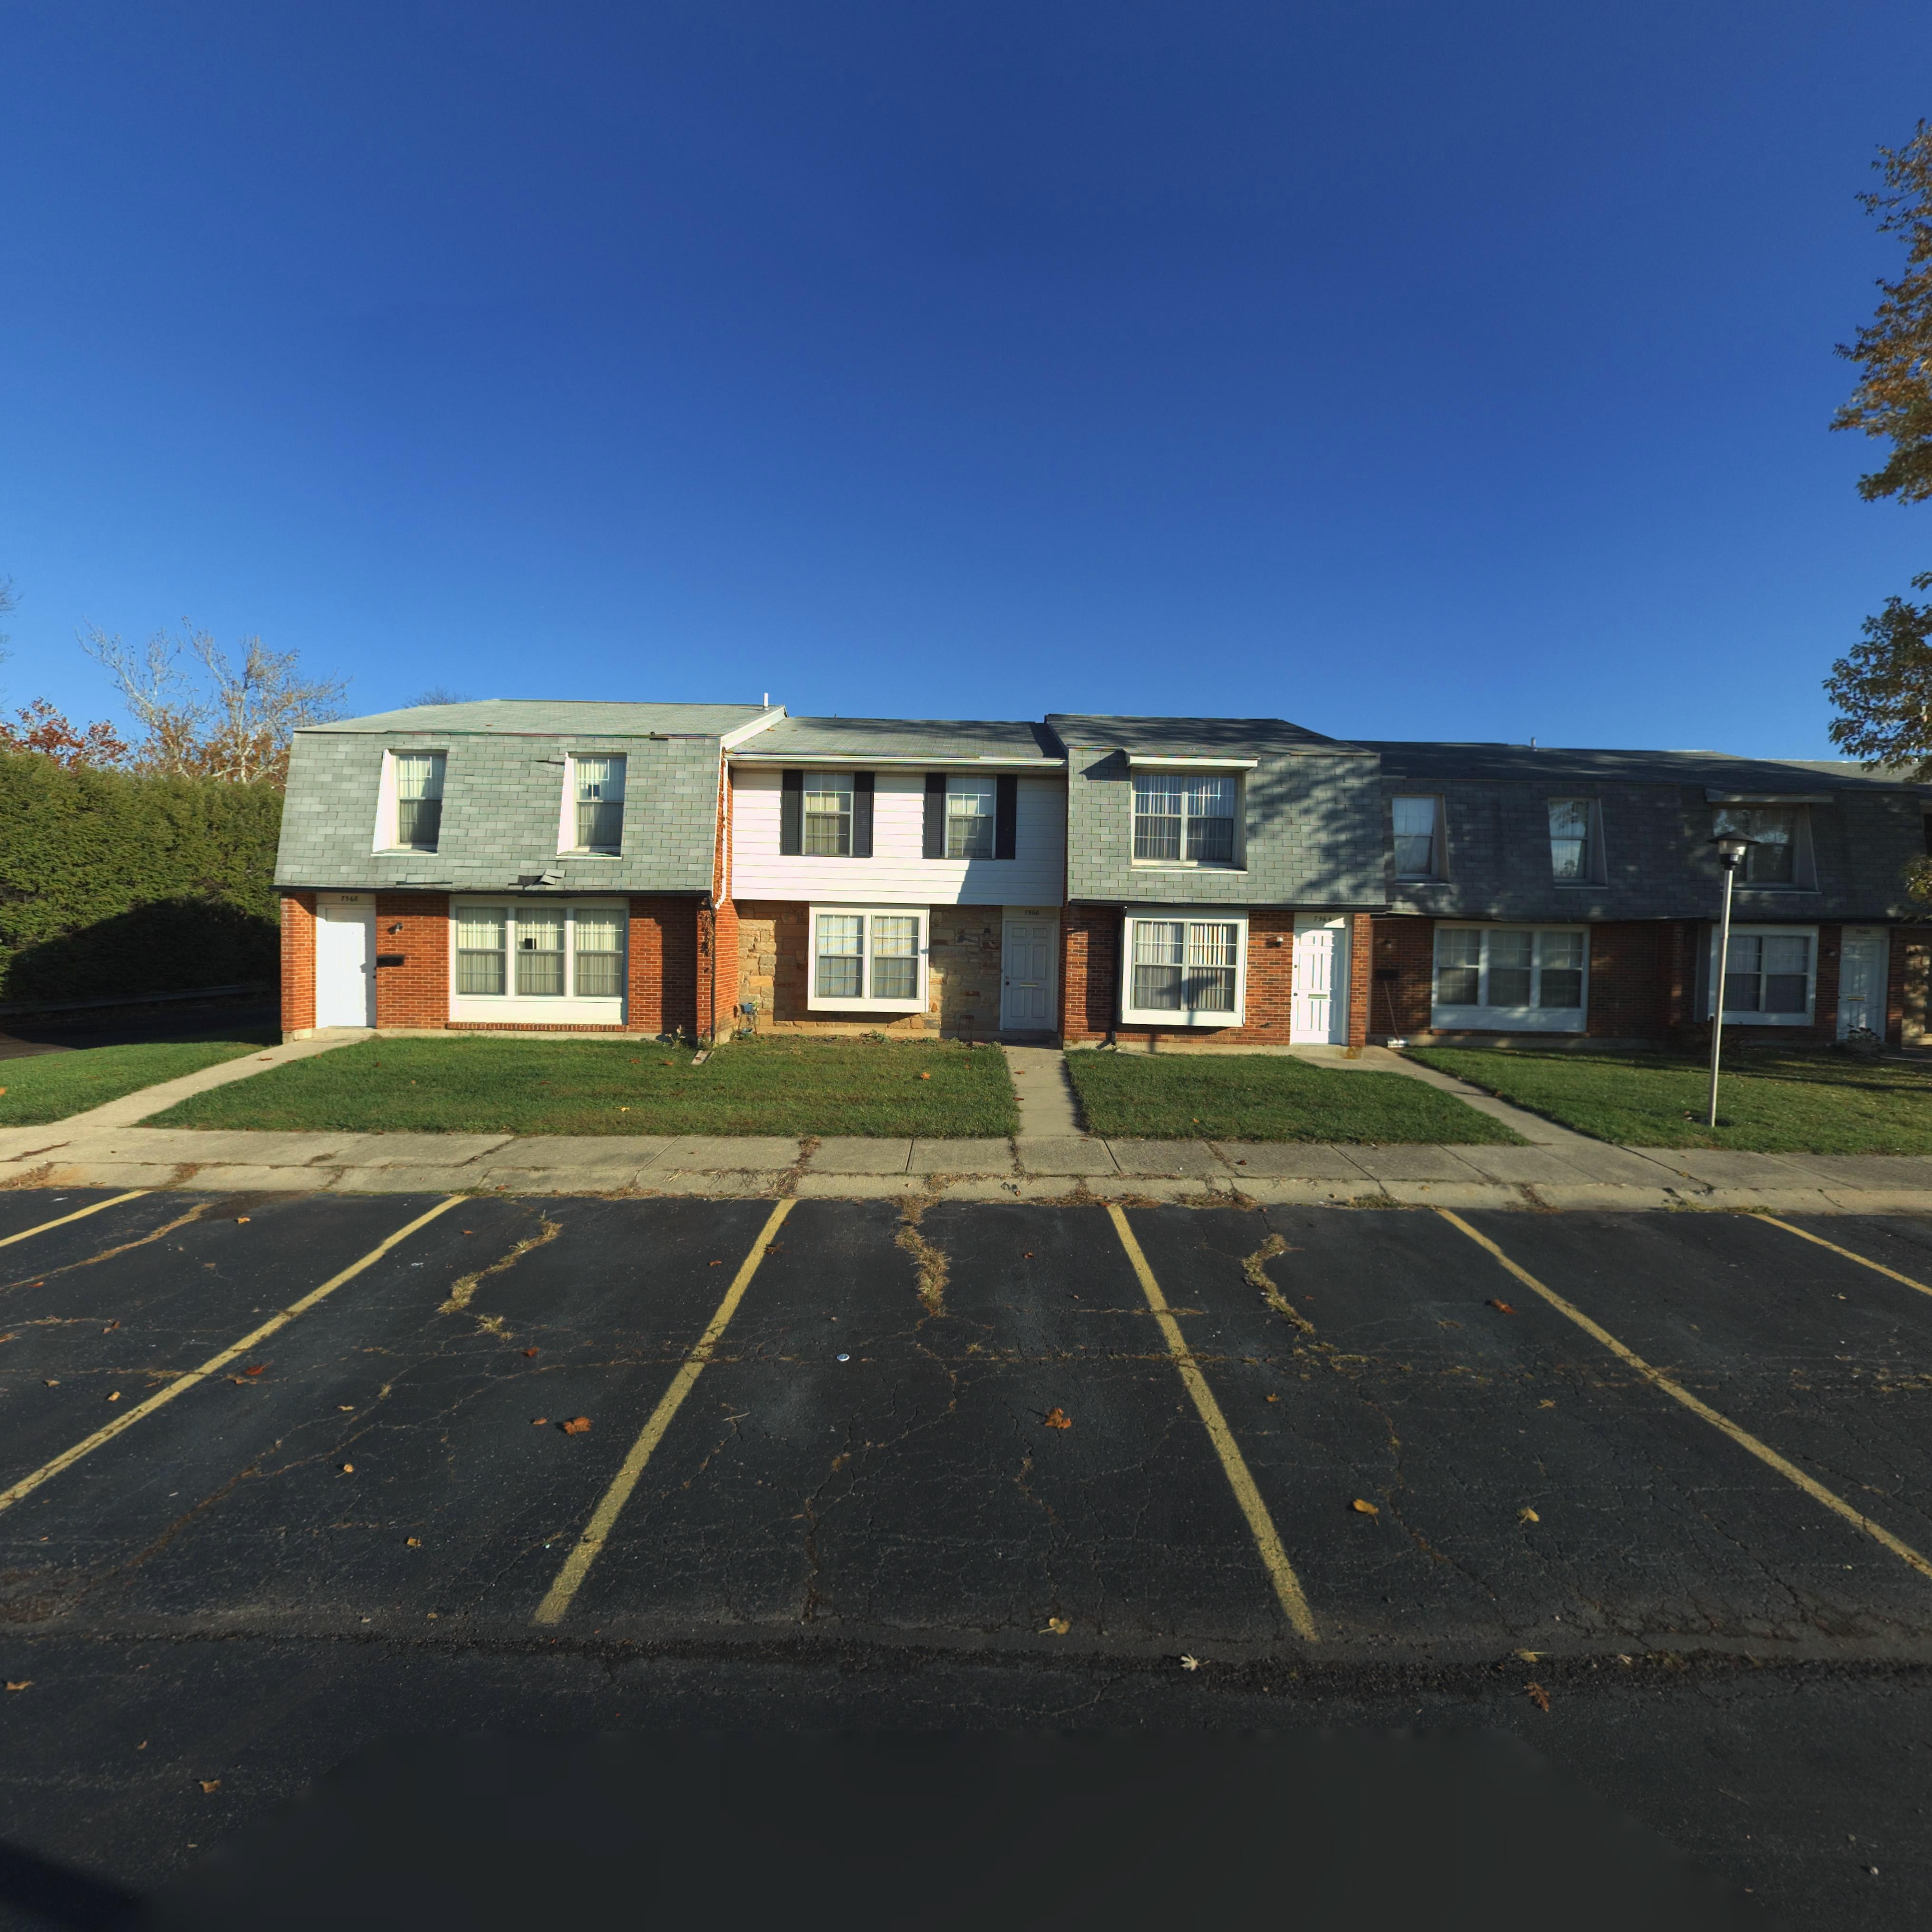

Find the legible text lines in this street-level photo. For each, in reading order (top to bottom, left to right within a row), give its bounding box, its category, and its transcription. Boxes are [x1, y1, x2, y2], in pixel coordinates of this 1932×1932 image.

[339, 895, 359, 903] StreetNumber: 7568
[1024, 908, 1040, 917] StreetNumber: 7566
[1313, 915, 1333, 923] StreetNumber: 7564